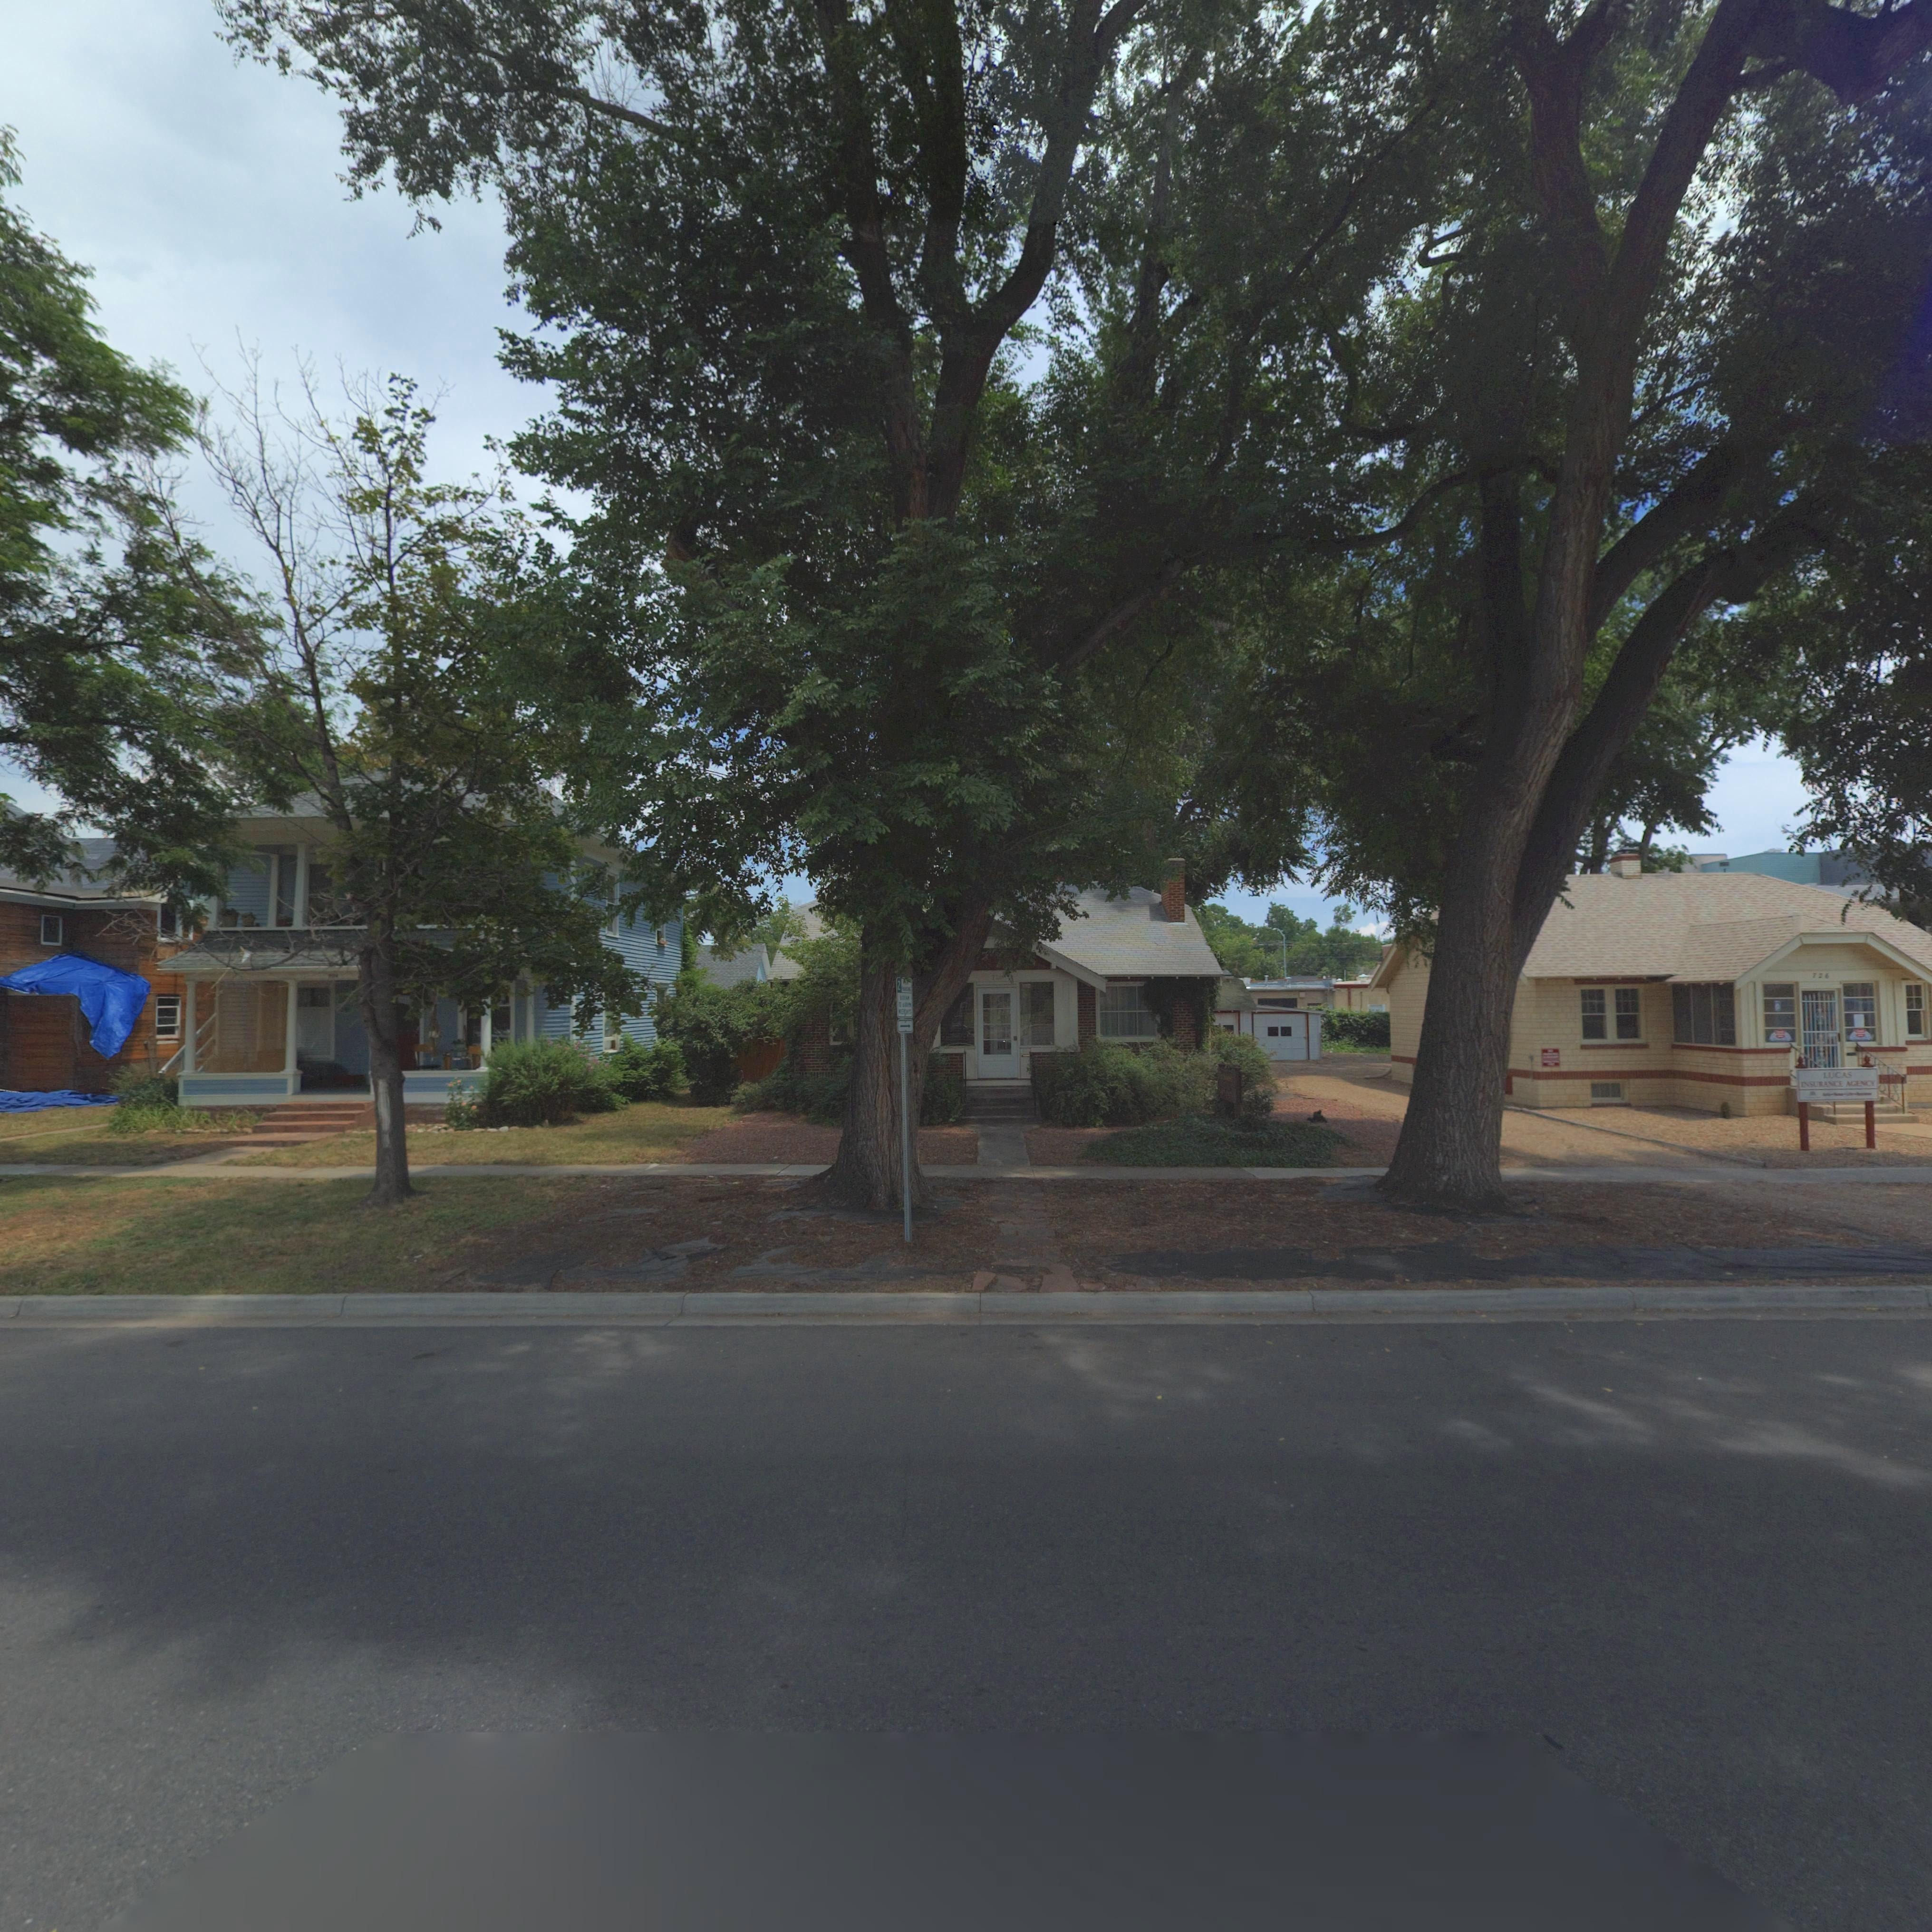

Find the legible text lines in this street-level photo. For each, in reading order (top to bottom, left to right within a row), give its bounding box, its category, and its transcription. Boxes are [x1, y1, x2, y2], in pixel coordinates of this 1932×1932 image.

[328, 973, 339, 978] StreetNumber: 7**
[992, 975, 1003, 980] StreetNumber: 7**
[1812, 972, 1830, 979] StreetNumber: 726
[1823, 1072, 1853, 1078] BusinessName: LUCAS
[1800, 1080, 1876, 1087] BusinessName: INSURANCE AGENT